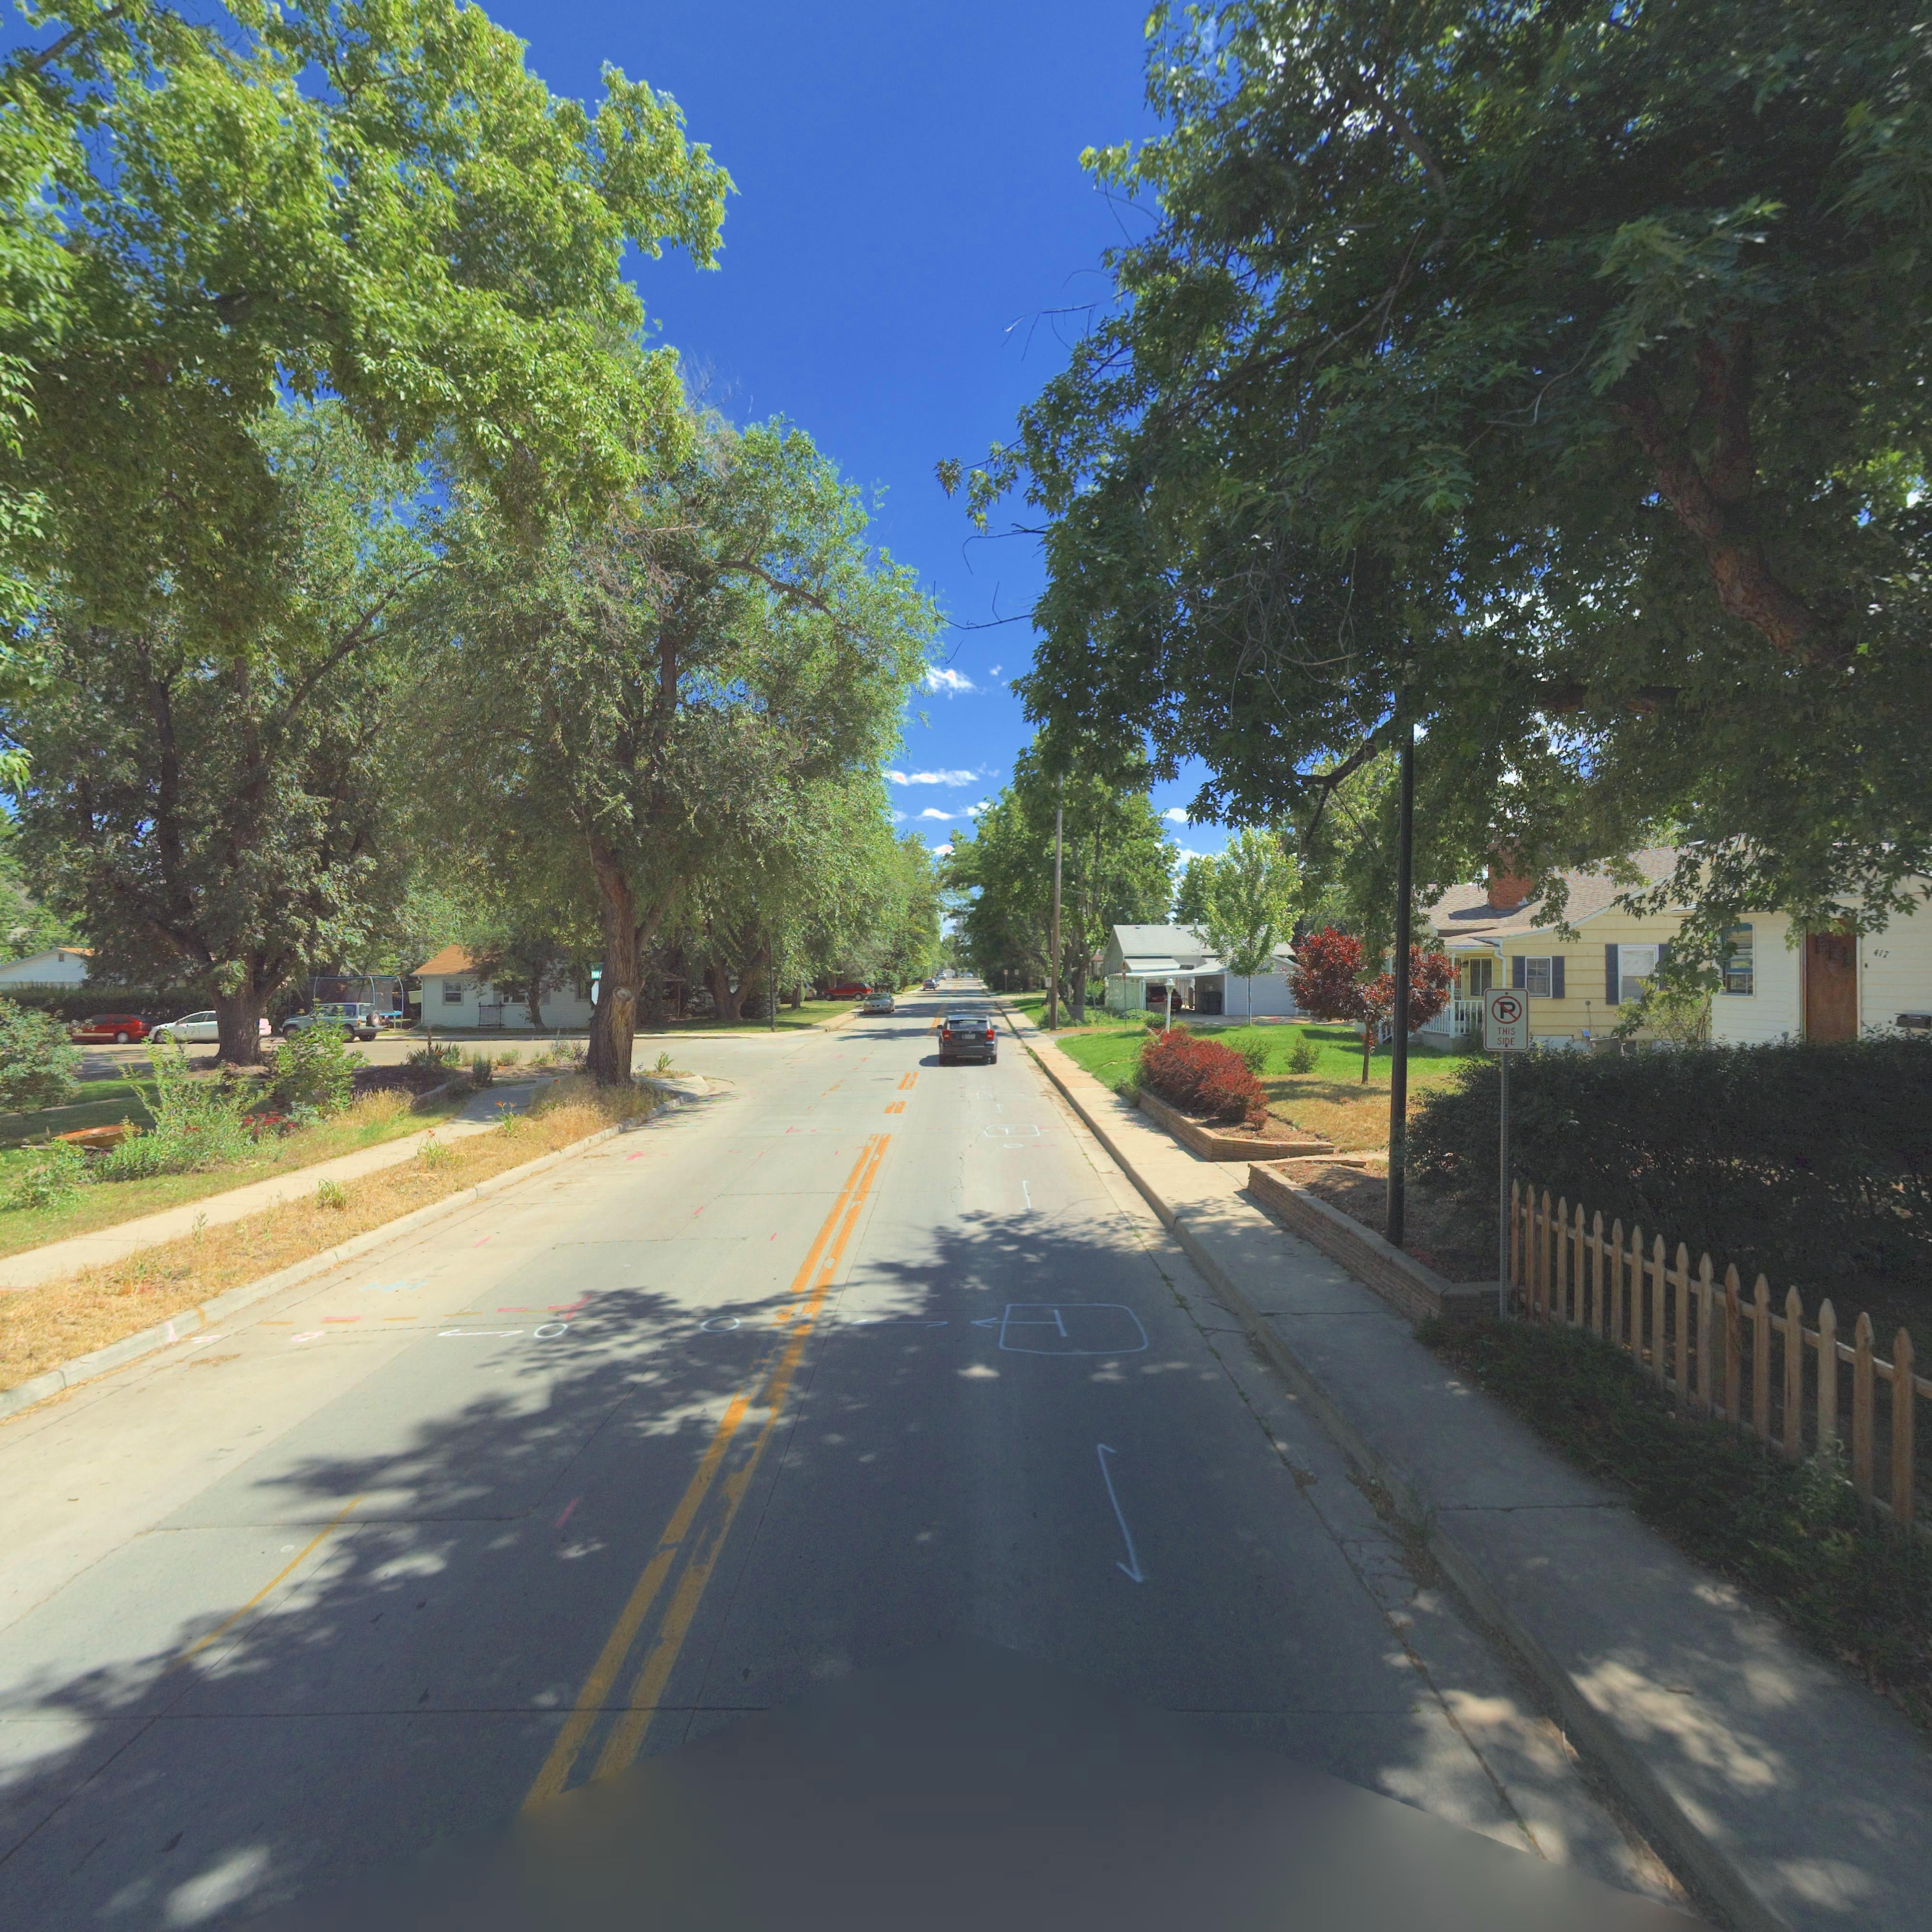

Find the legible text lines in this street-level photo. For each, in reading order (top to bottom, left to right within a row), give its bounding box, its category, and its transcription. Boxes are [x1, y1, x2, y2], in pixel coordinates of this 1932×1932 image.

[1873, 948, 1890, 958] StreetNumber: 417
[590, 963, 599, 970] StreetName: 6T*
[591, 972, 601, 977] StreetName: *L**